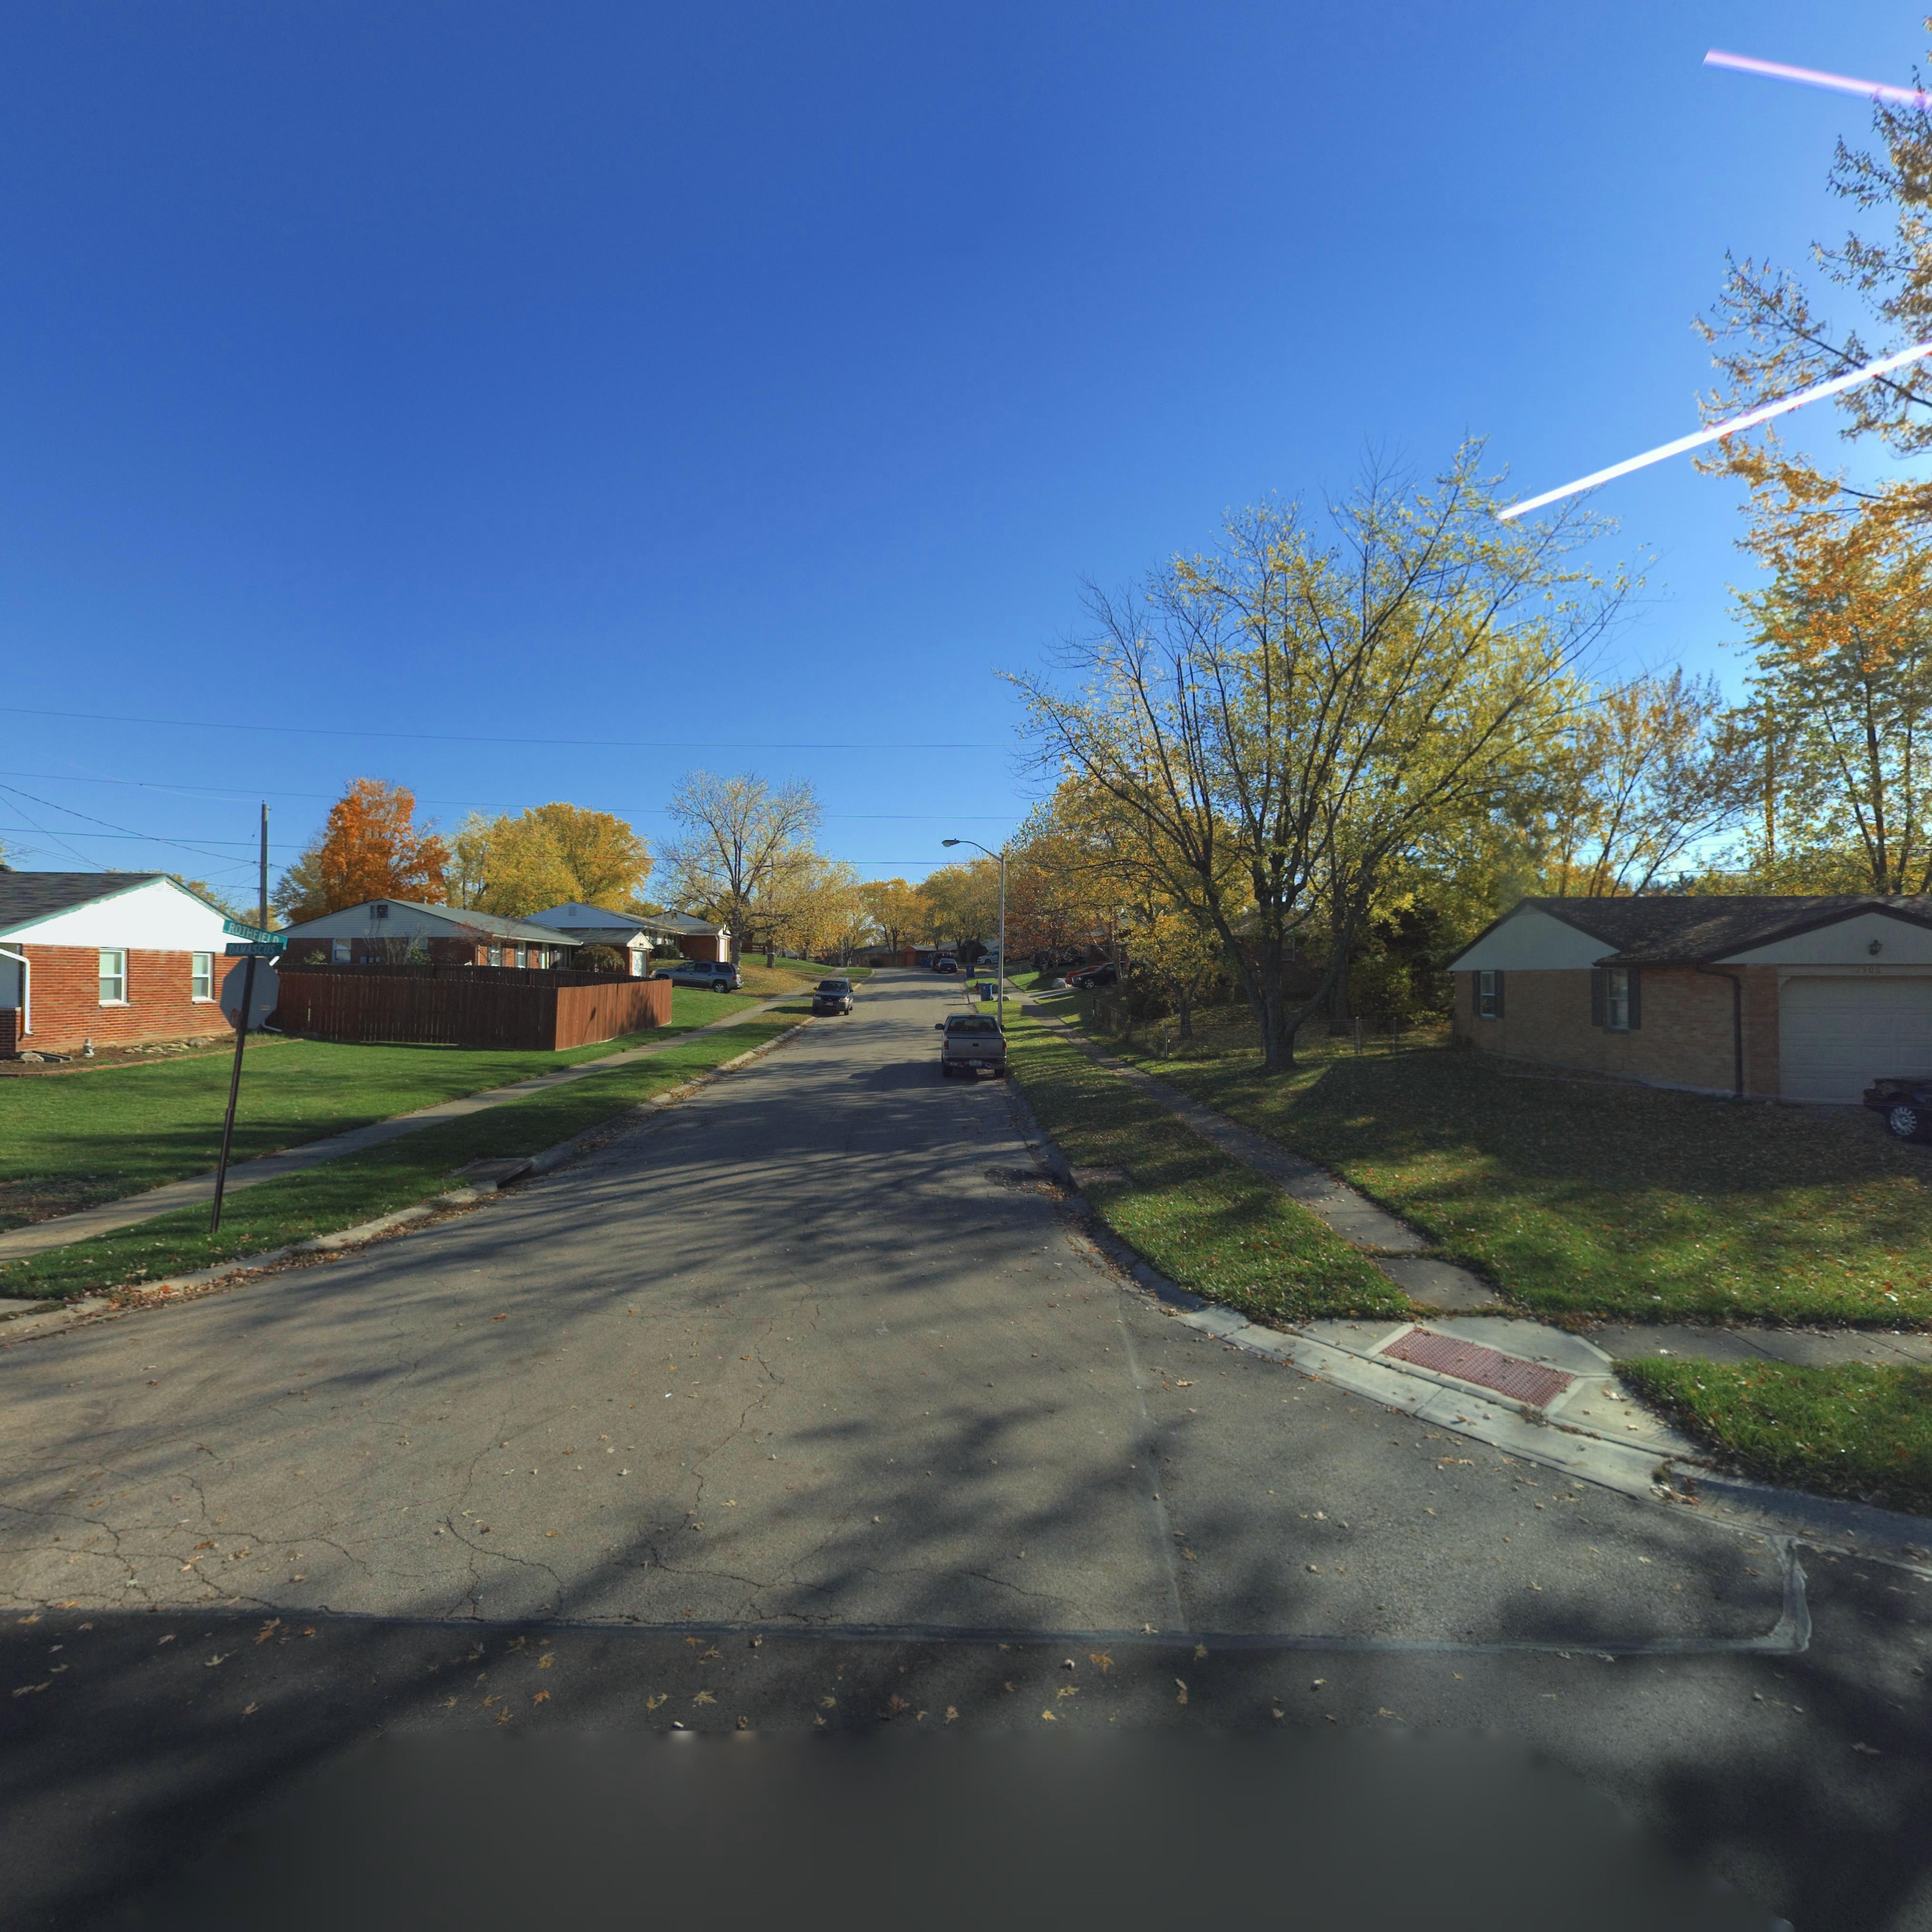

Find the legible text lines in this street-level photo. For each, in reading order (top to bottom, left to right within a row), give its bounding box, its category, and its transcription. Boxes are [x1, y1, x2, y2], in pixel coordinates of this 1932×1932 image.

[227, 921, 279, 947] StreetName: ROTHFIE**
[227, 944, 276, 956] StreetName: DAMASCUS
[1855, 966, 1882, 975] StreetNumber: 7*0*